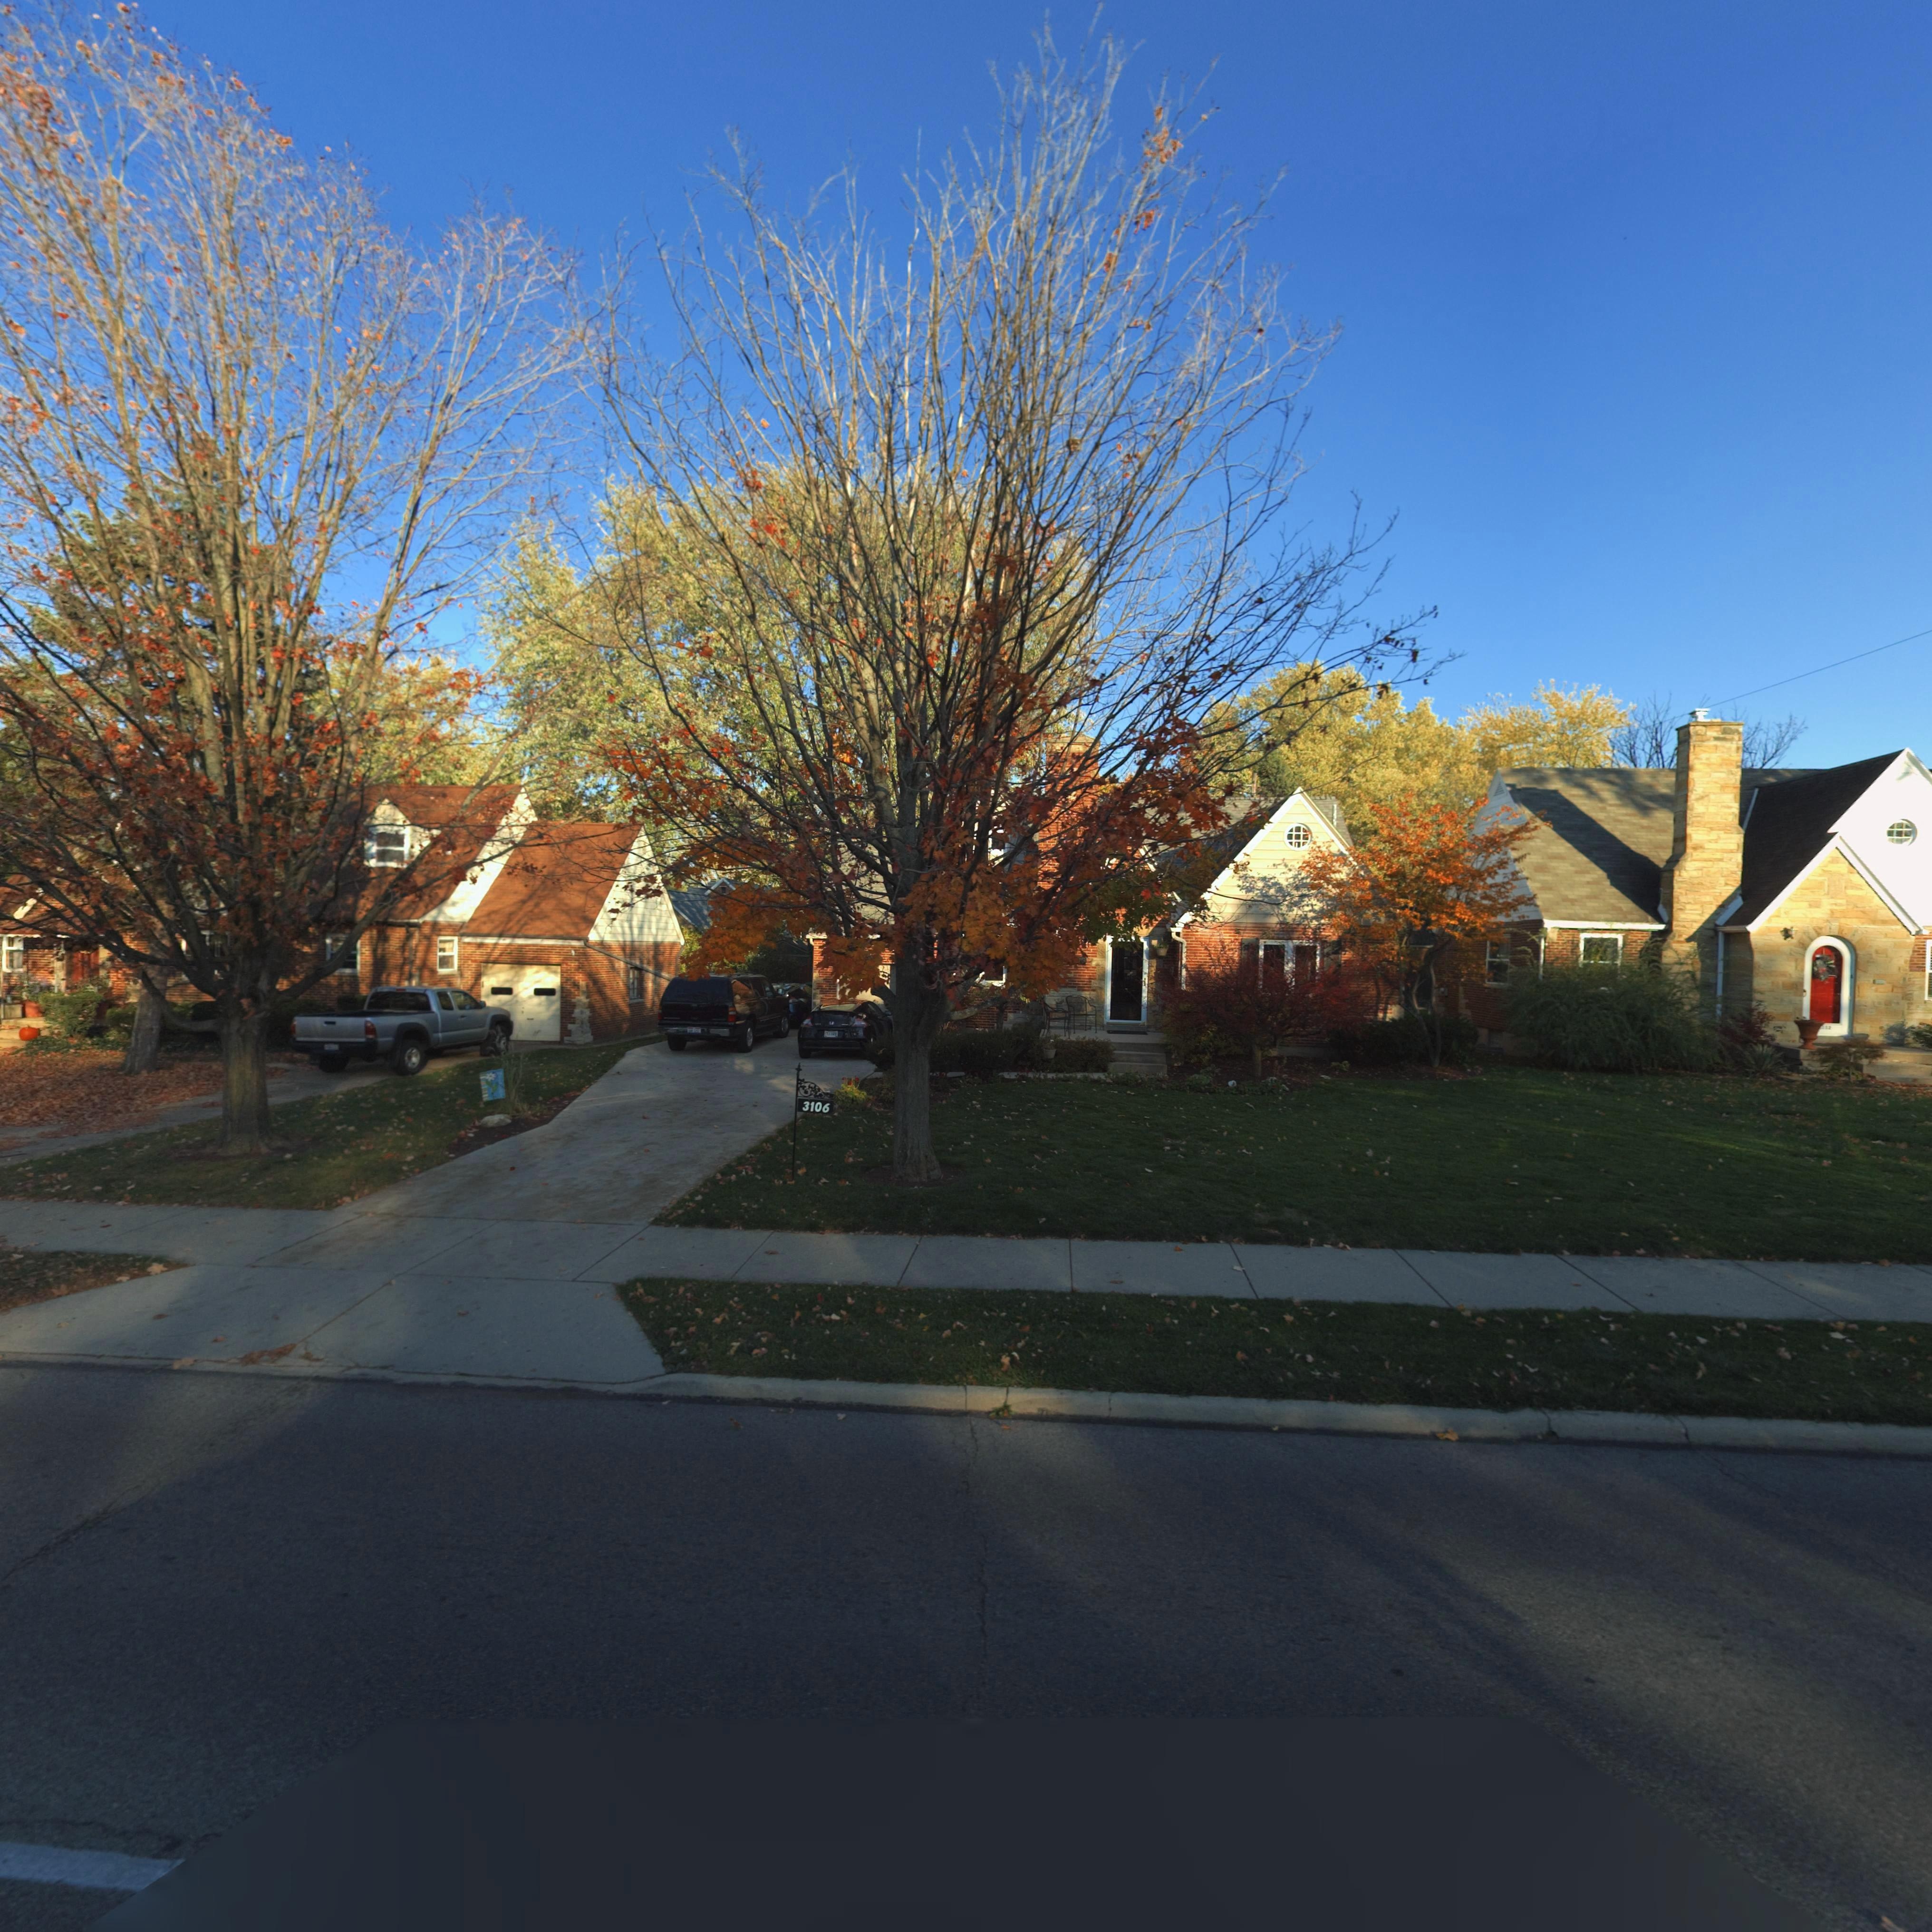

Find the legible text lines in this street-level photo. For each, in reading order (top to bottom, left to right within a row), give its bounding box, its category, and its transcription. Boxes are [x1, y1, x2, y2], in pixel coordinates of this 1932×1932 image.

[801, 1100, 831, 1114] StreetNumber: 3106